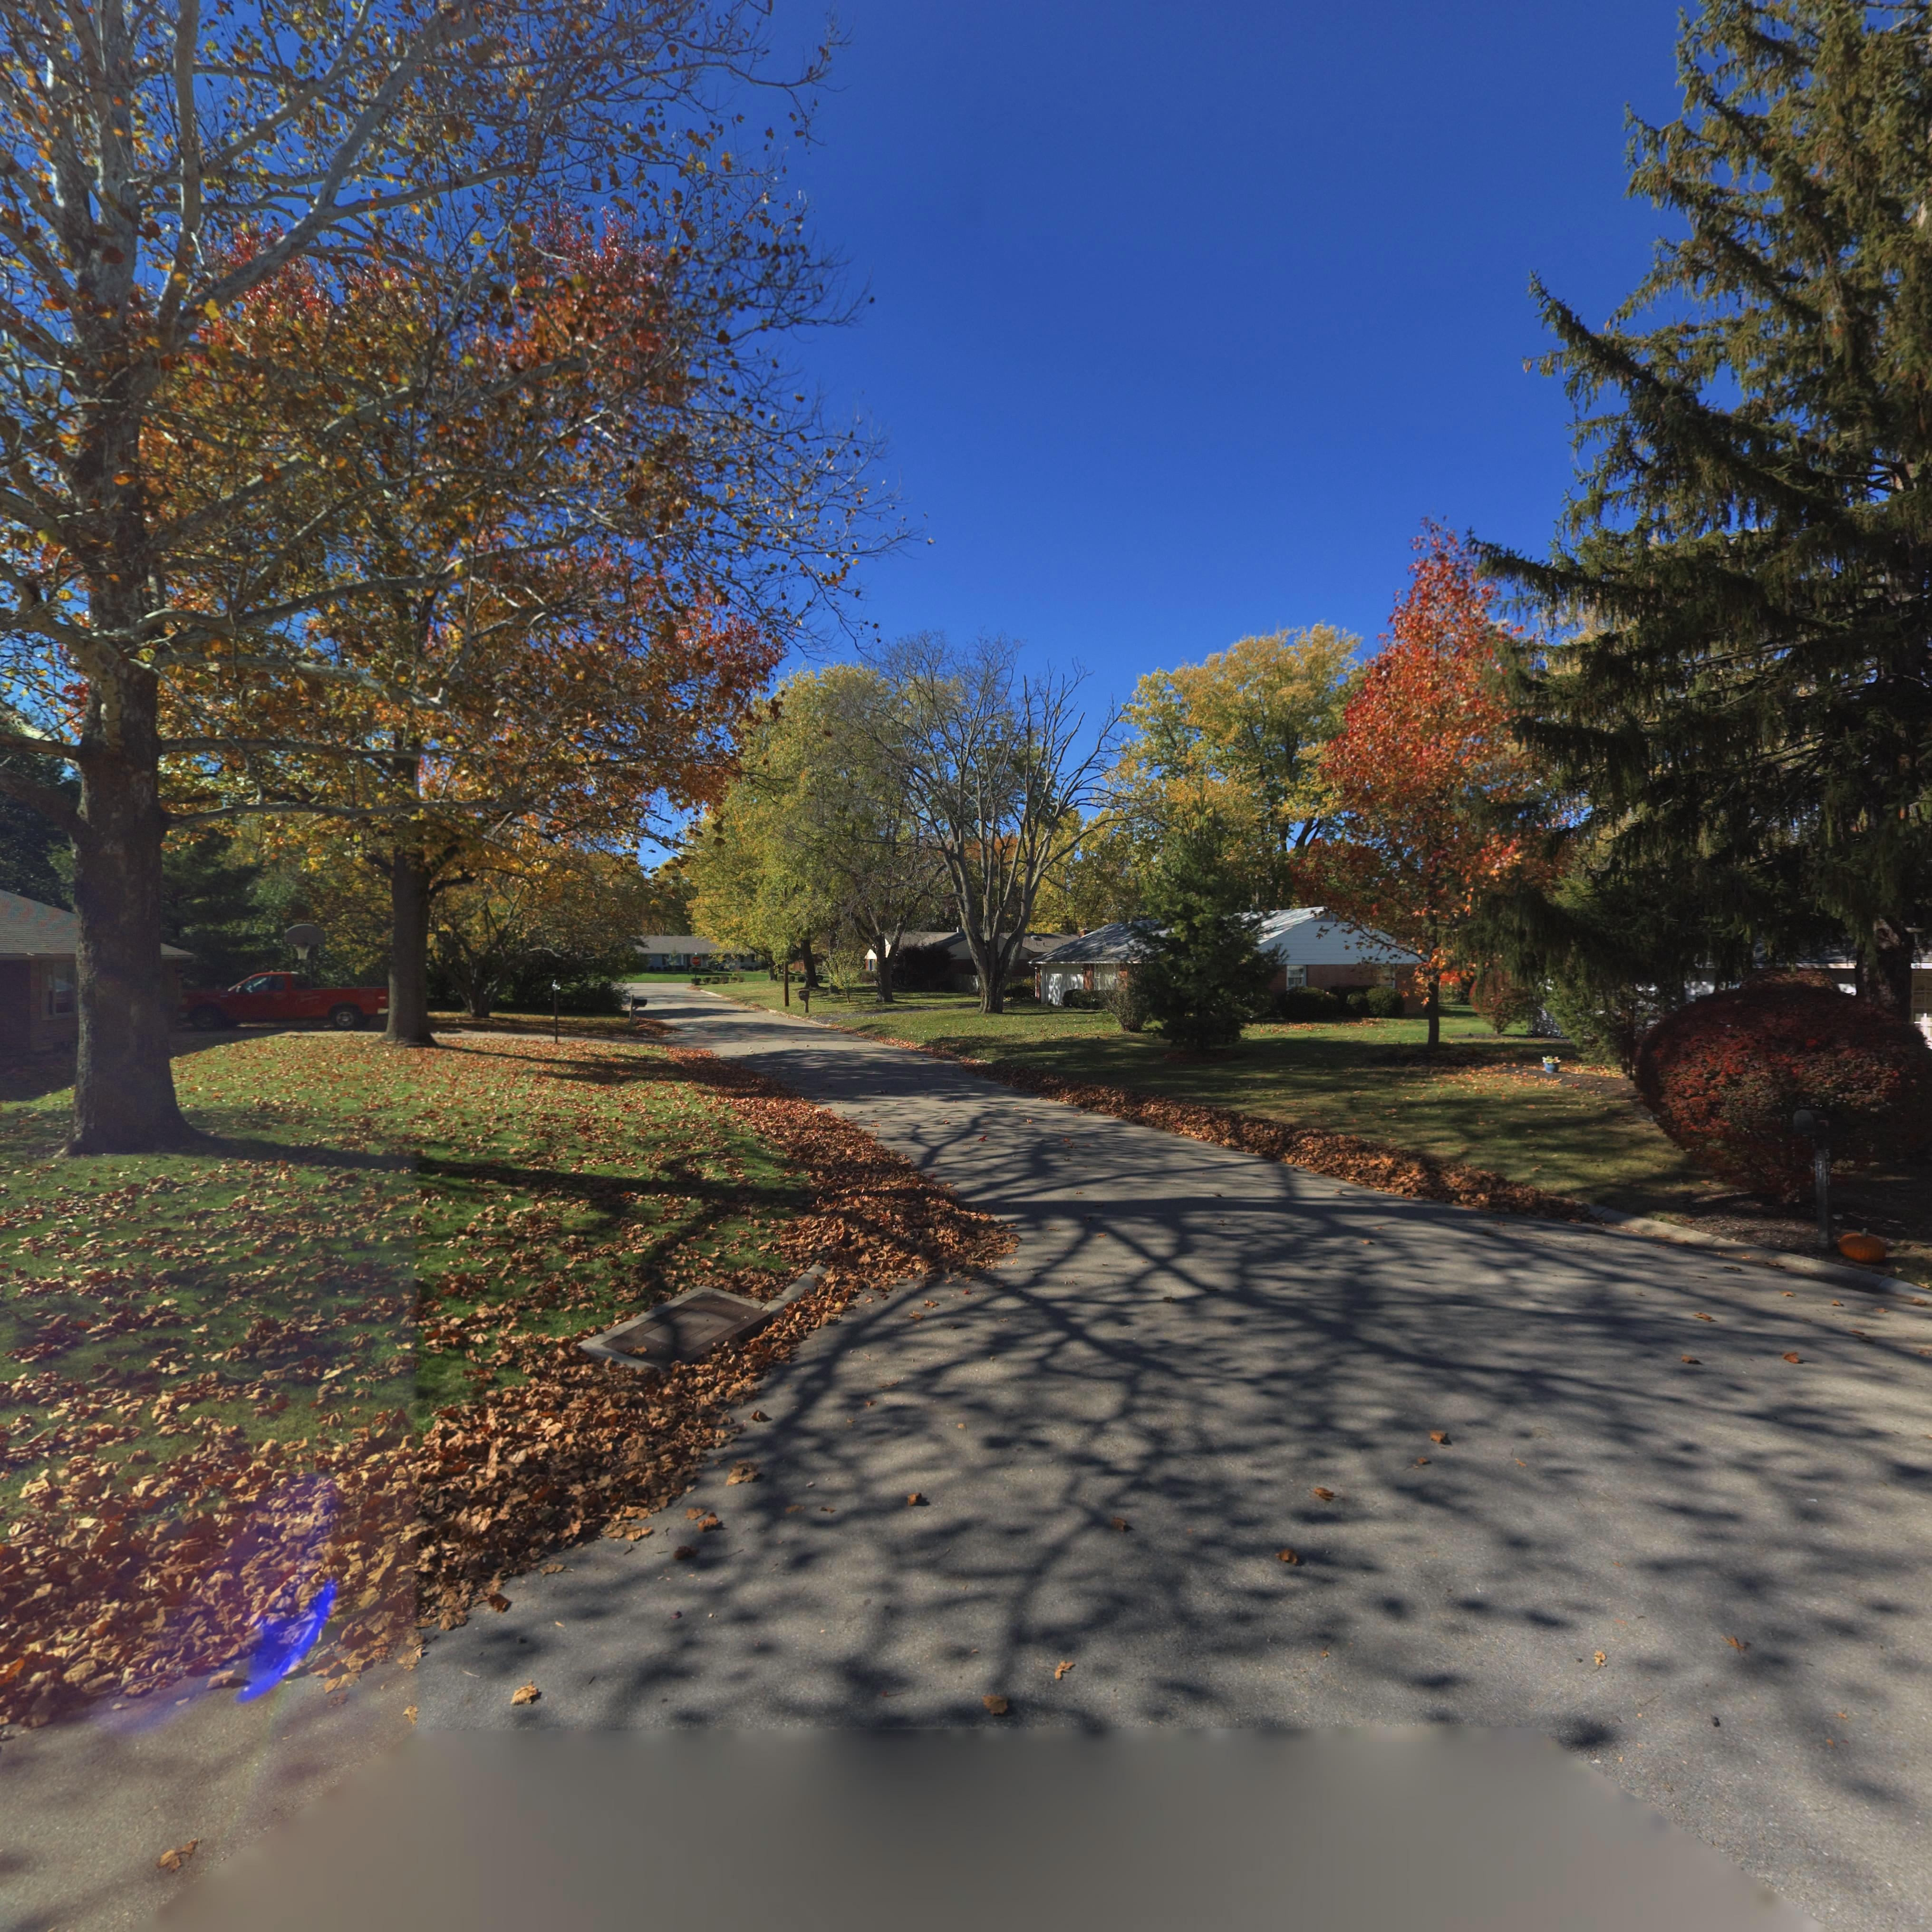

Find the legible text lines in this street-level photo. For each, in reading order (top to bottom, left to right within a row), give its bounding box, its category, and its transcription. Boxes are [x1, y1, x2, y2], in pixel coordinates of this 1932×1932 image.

[1816, 1150, 1823, 1180] StreetNumber: 571
[1824, 1148, 1831, 1186] StreetNumber: 571